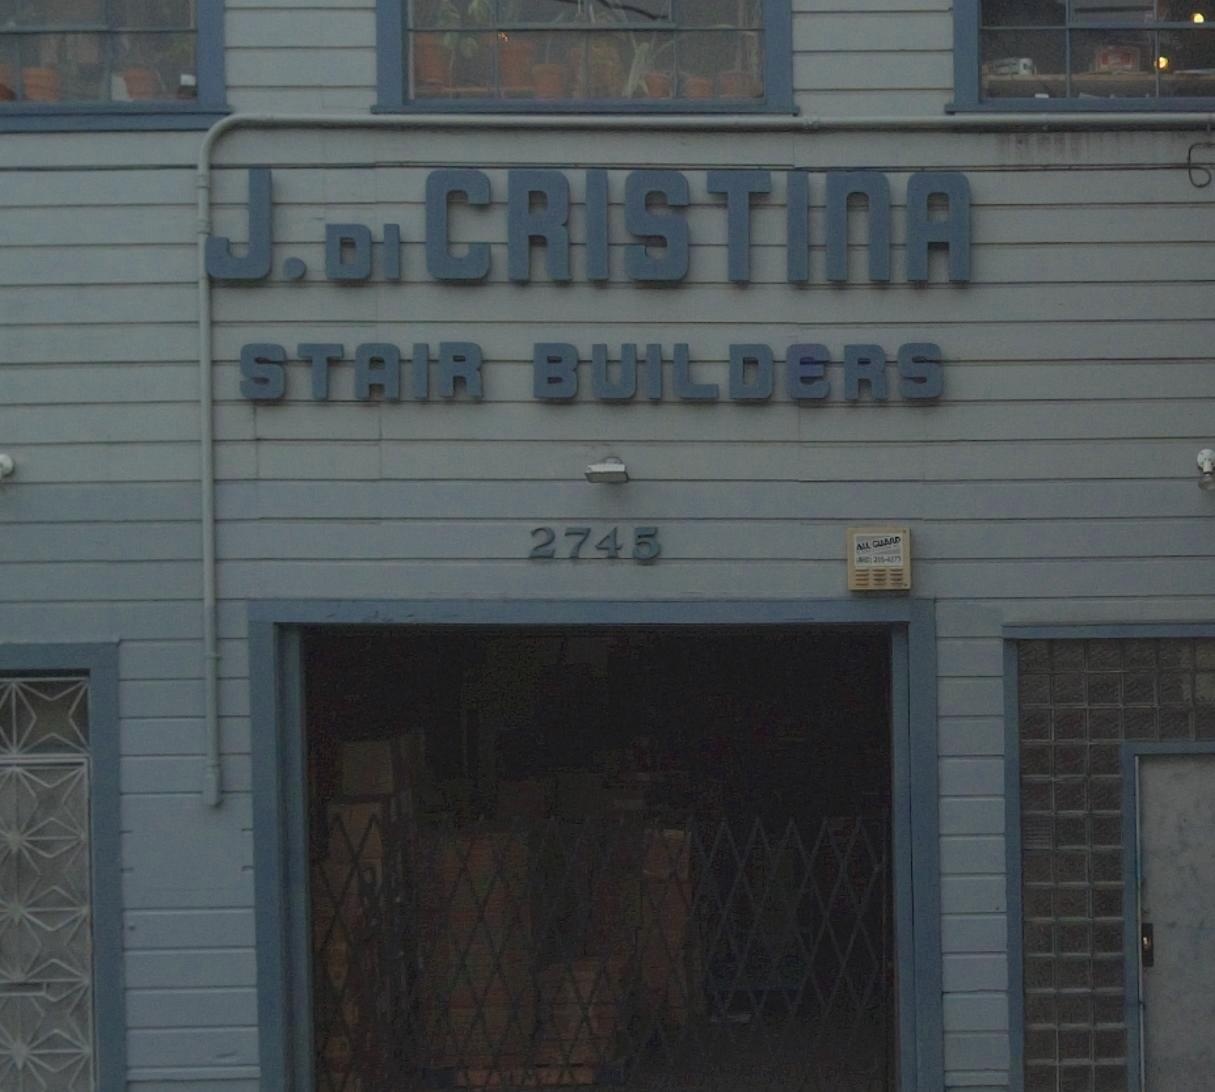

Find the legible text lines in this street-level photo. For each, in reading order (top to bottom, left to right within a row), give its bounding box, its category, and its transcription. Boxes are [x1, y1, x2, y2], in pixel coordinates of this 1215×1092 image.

[203, 166, 975, 284] BusinessName: J.DICRISTINA
[237, 340, 947, 402] BusinessName: STAIR BUILDERS
[528, 524, 662, 560] StreetNumber: 2745